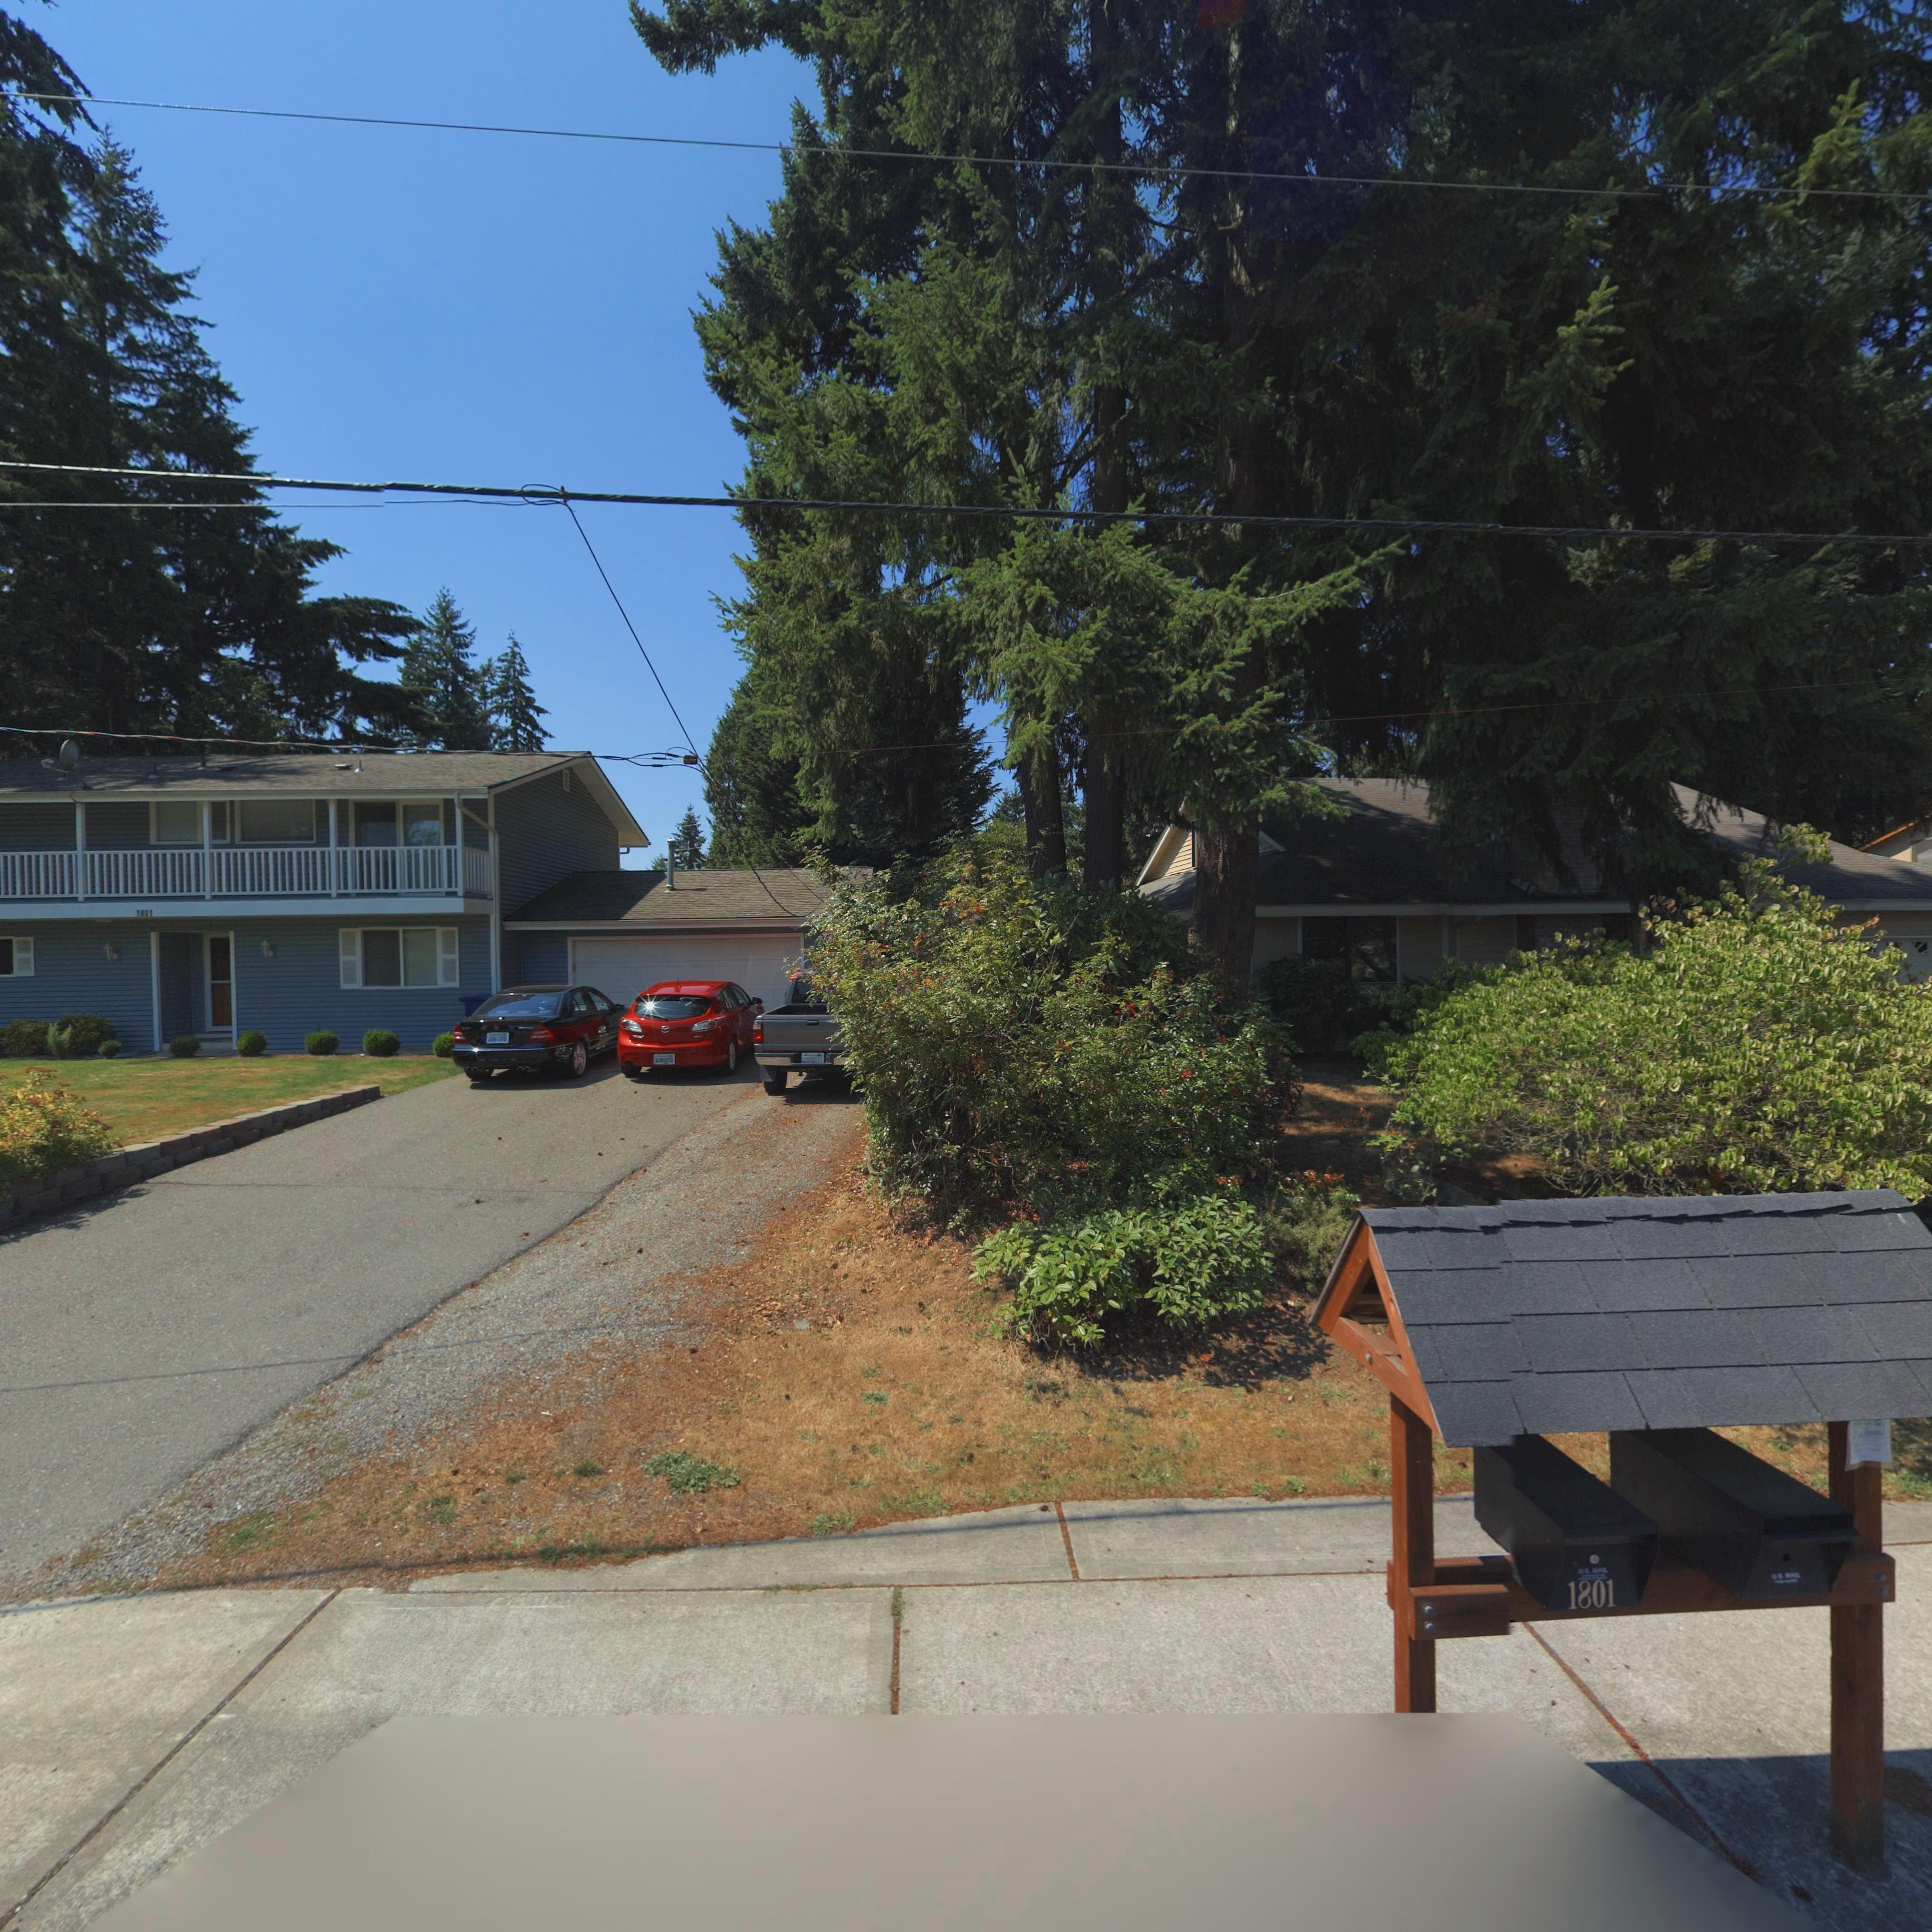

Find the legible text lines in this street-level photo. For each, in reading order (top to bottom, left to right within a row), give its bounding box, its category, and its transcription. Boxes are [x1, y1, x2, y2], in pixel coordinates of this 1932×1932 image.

[135, 909, 153, 918] StreetNumber: 1801
[1568, 1579, 1615, 1609] StreetNumber: 1801